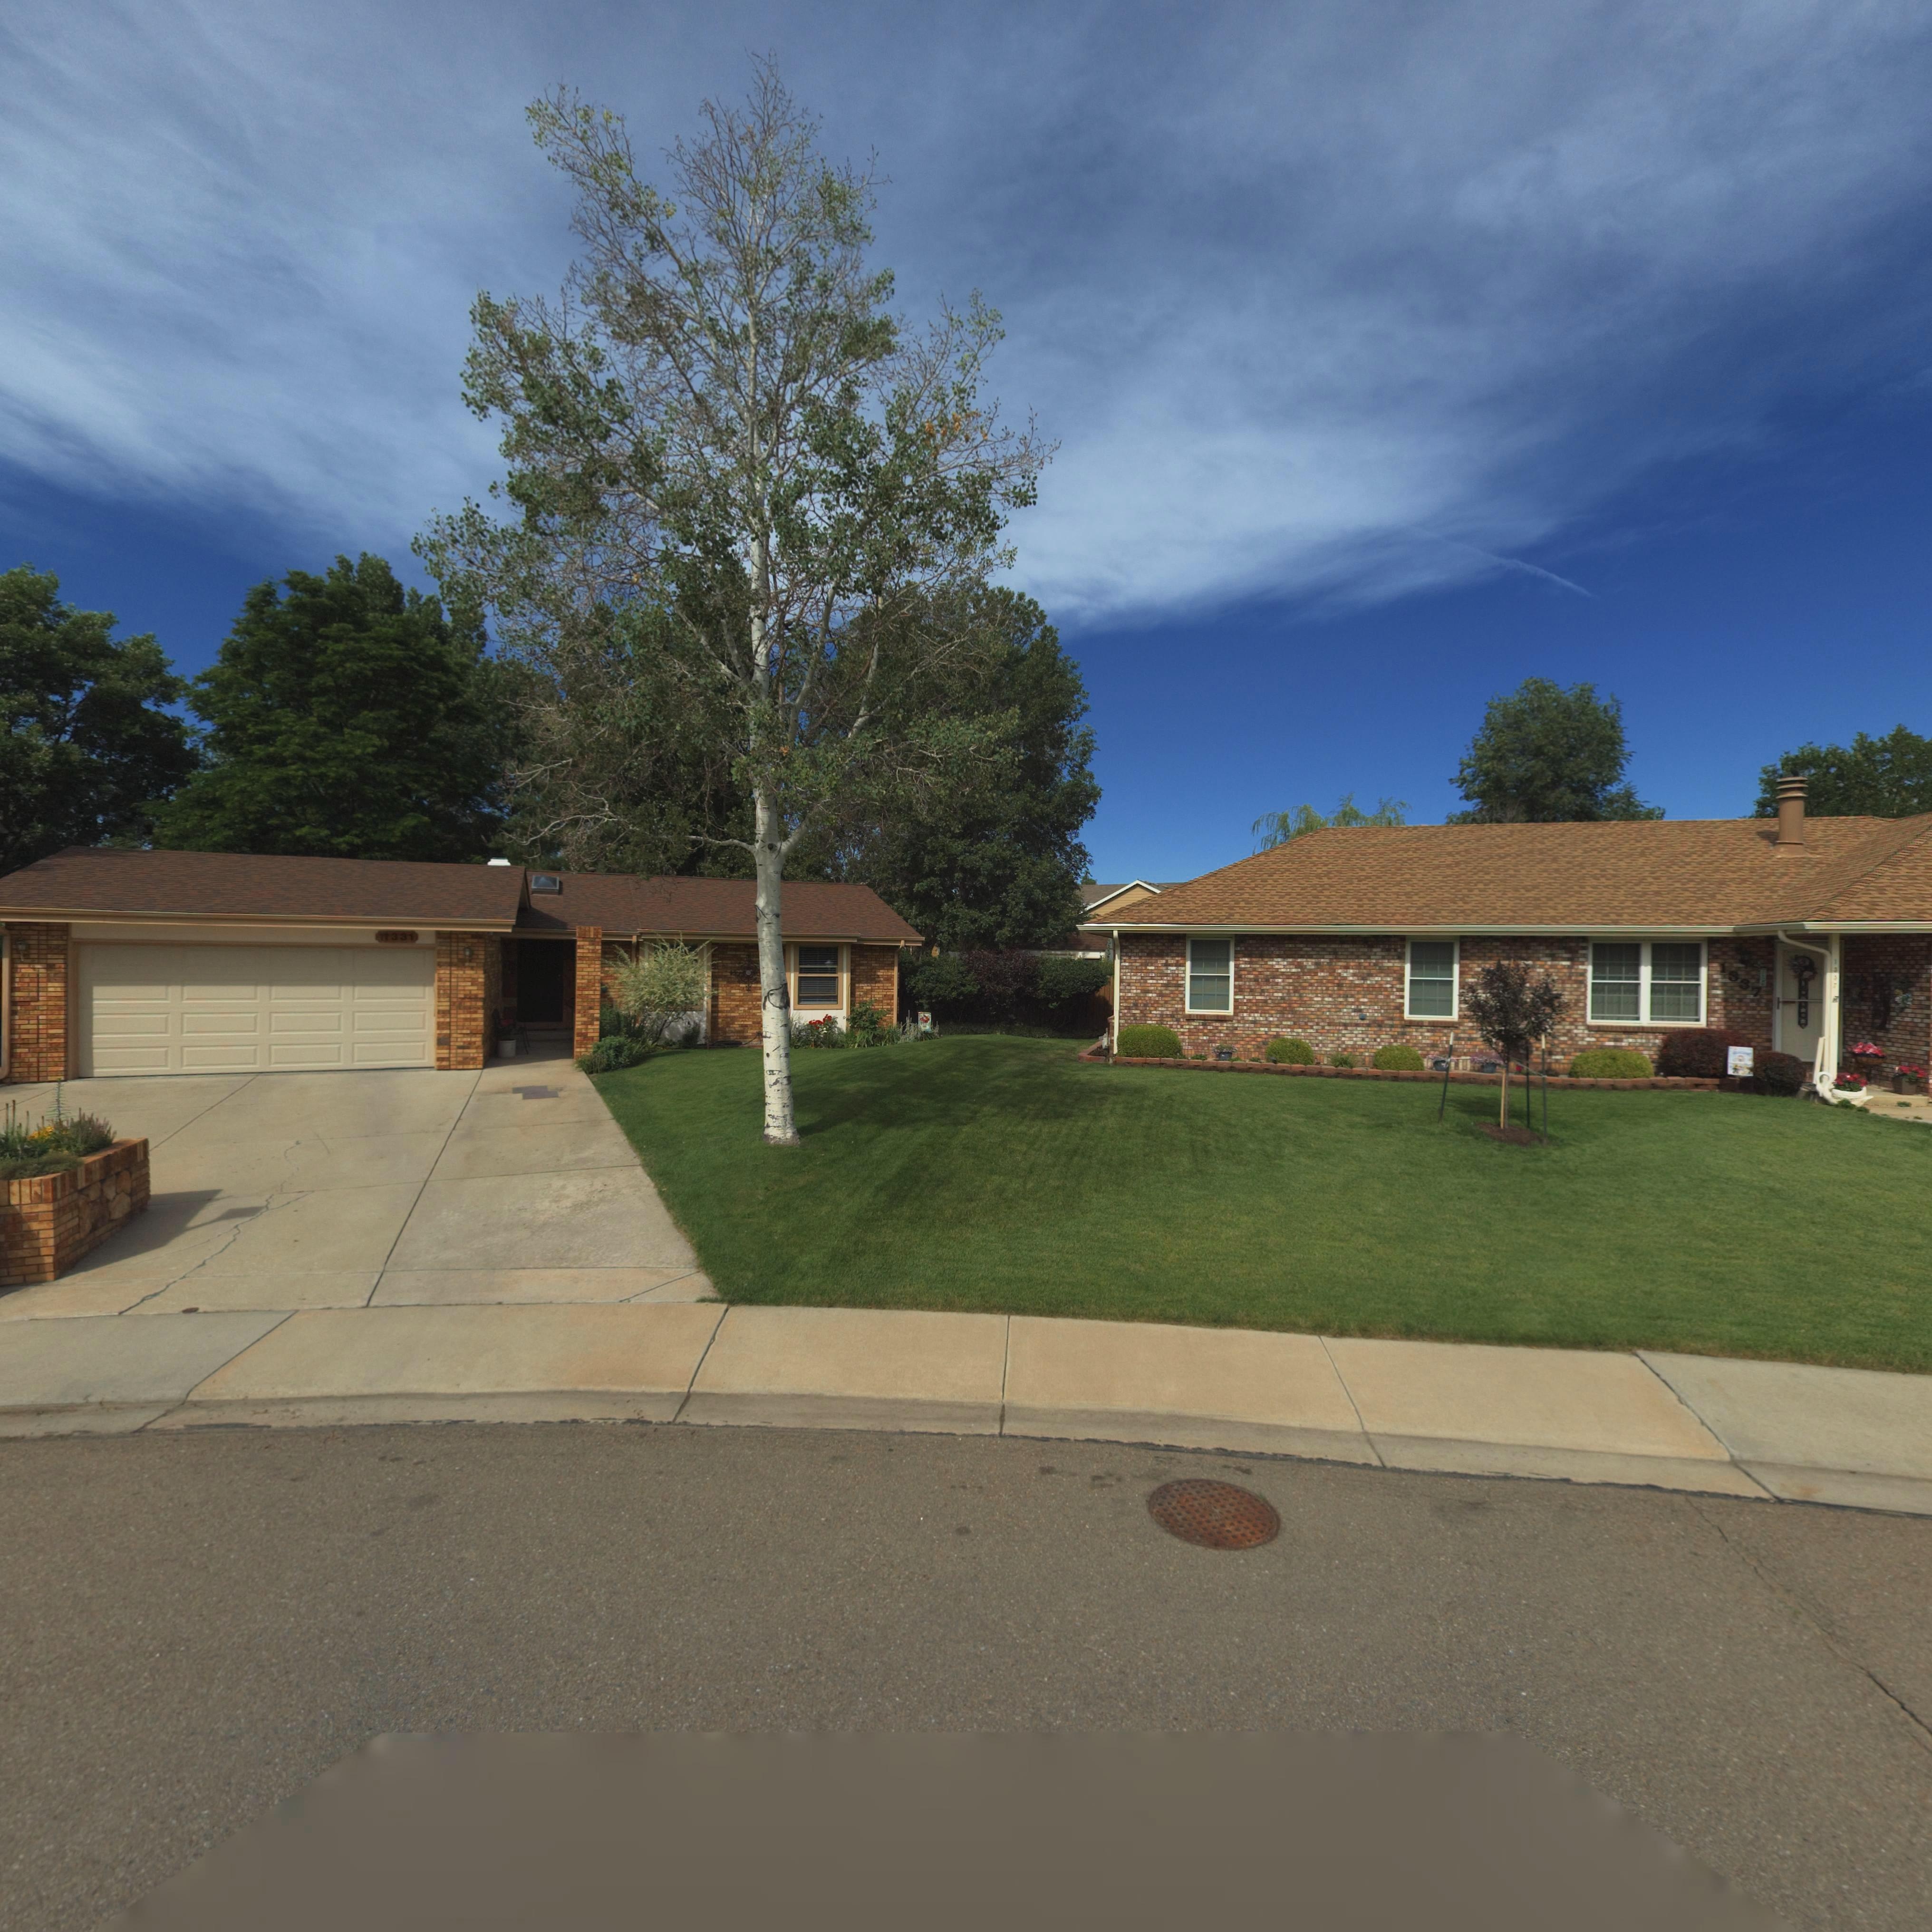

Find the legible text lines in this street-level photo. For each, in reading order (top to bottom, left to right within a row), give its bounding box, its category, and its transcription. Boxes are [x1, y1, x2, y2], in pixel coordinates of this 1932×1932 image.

[383, 931, 414, 941] StreetNumber: 1331
[1719, 961, 1763, 998] StreetNumber: 1337
[1833, 957, 1838, 989] StreetNumber: 1**7